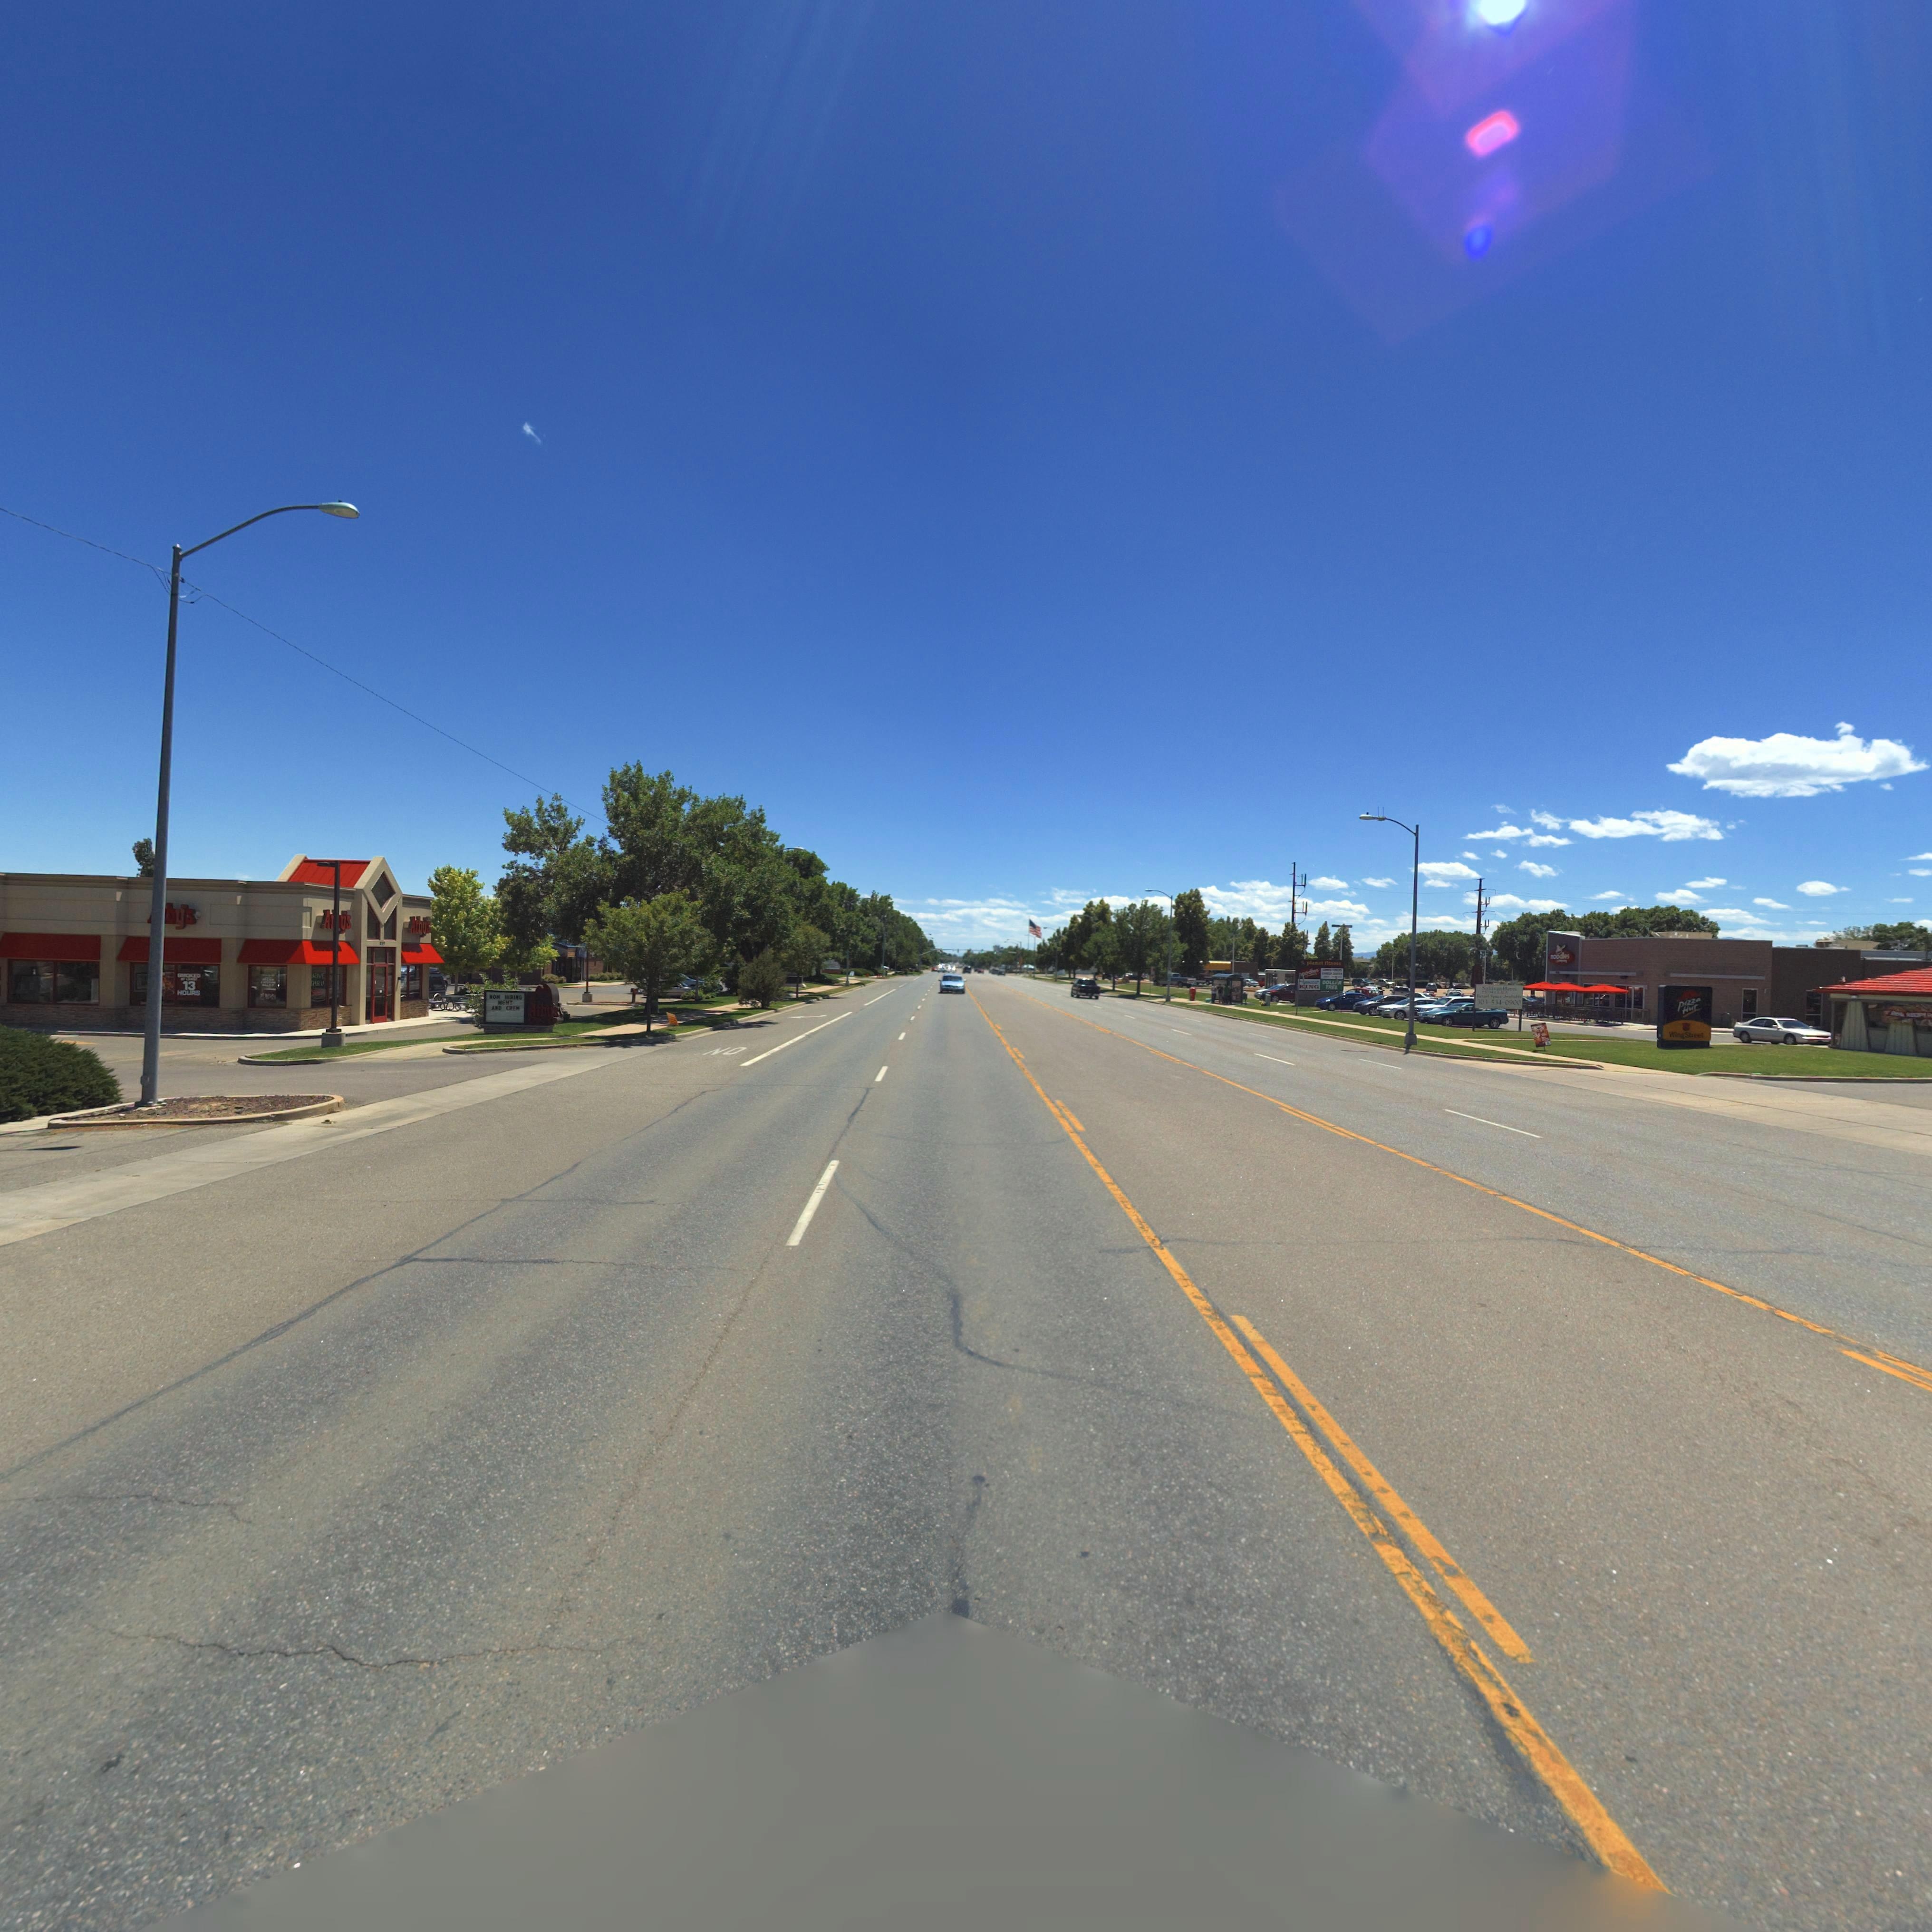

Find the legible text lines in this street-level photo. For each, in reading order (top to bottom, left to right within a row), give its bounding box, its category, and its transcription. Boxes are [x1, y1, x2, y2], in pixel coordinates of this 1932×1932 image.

[165, 902, 197, 930] BusinessName: by's
[320, 909, 351, 934] BusinessName: A**y's
[408, 916, 431, 937] BusinessName: Arby's
[1550, 951, 1570, 959] BusinessName: noodles
[1306, 960, 1342, 966] BusinessName: planet fitness
[1298, 968, 1319, 977] BusinessName: noodles
[1301, 981, 1317, 984] BusinessName: T*BACCO
[1299, 984, 1319, 989] BusinessName: KING
[1325, 985, 1338, 990] BusinessName: TREE
[1322, 980, 1342, 985] BusinessName: DOLL*R
[527, 1003, 560, 1020] BusinessName: Arby's
[1676, 996, 1701, 1012] BusinessName: pizza
[1681, 1003, 1699, 1015] BusinessName: Hut
[1668, 1031, 1704, 1040] BusinessName: WingStreet